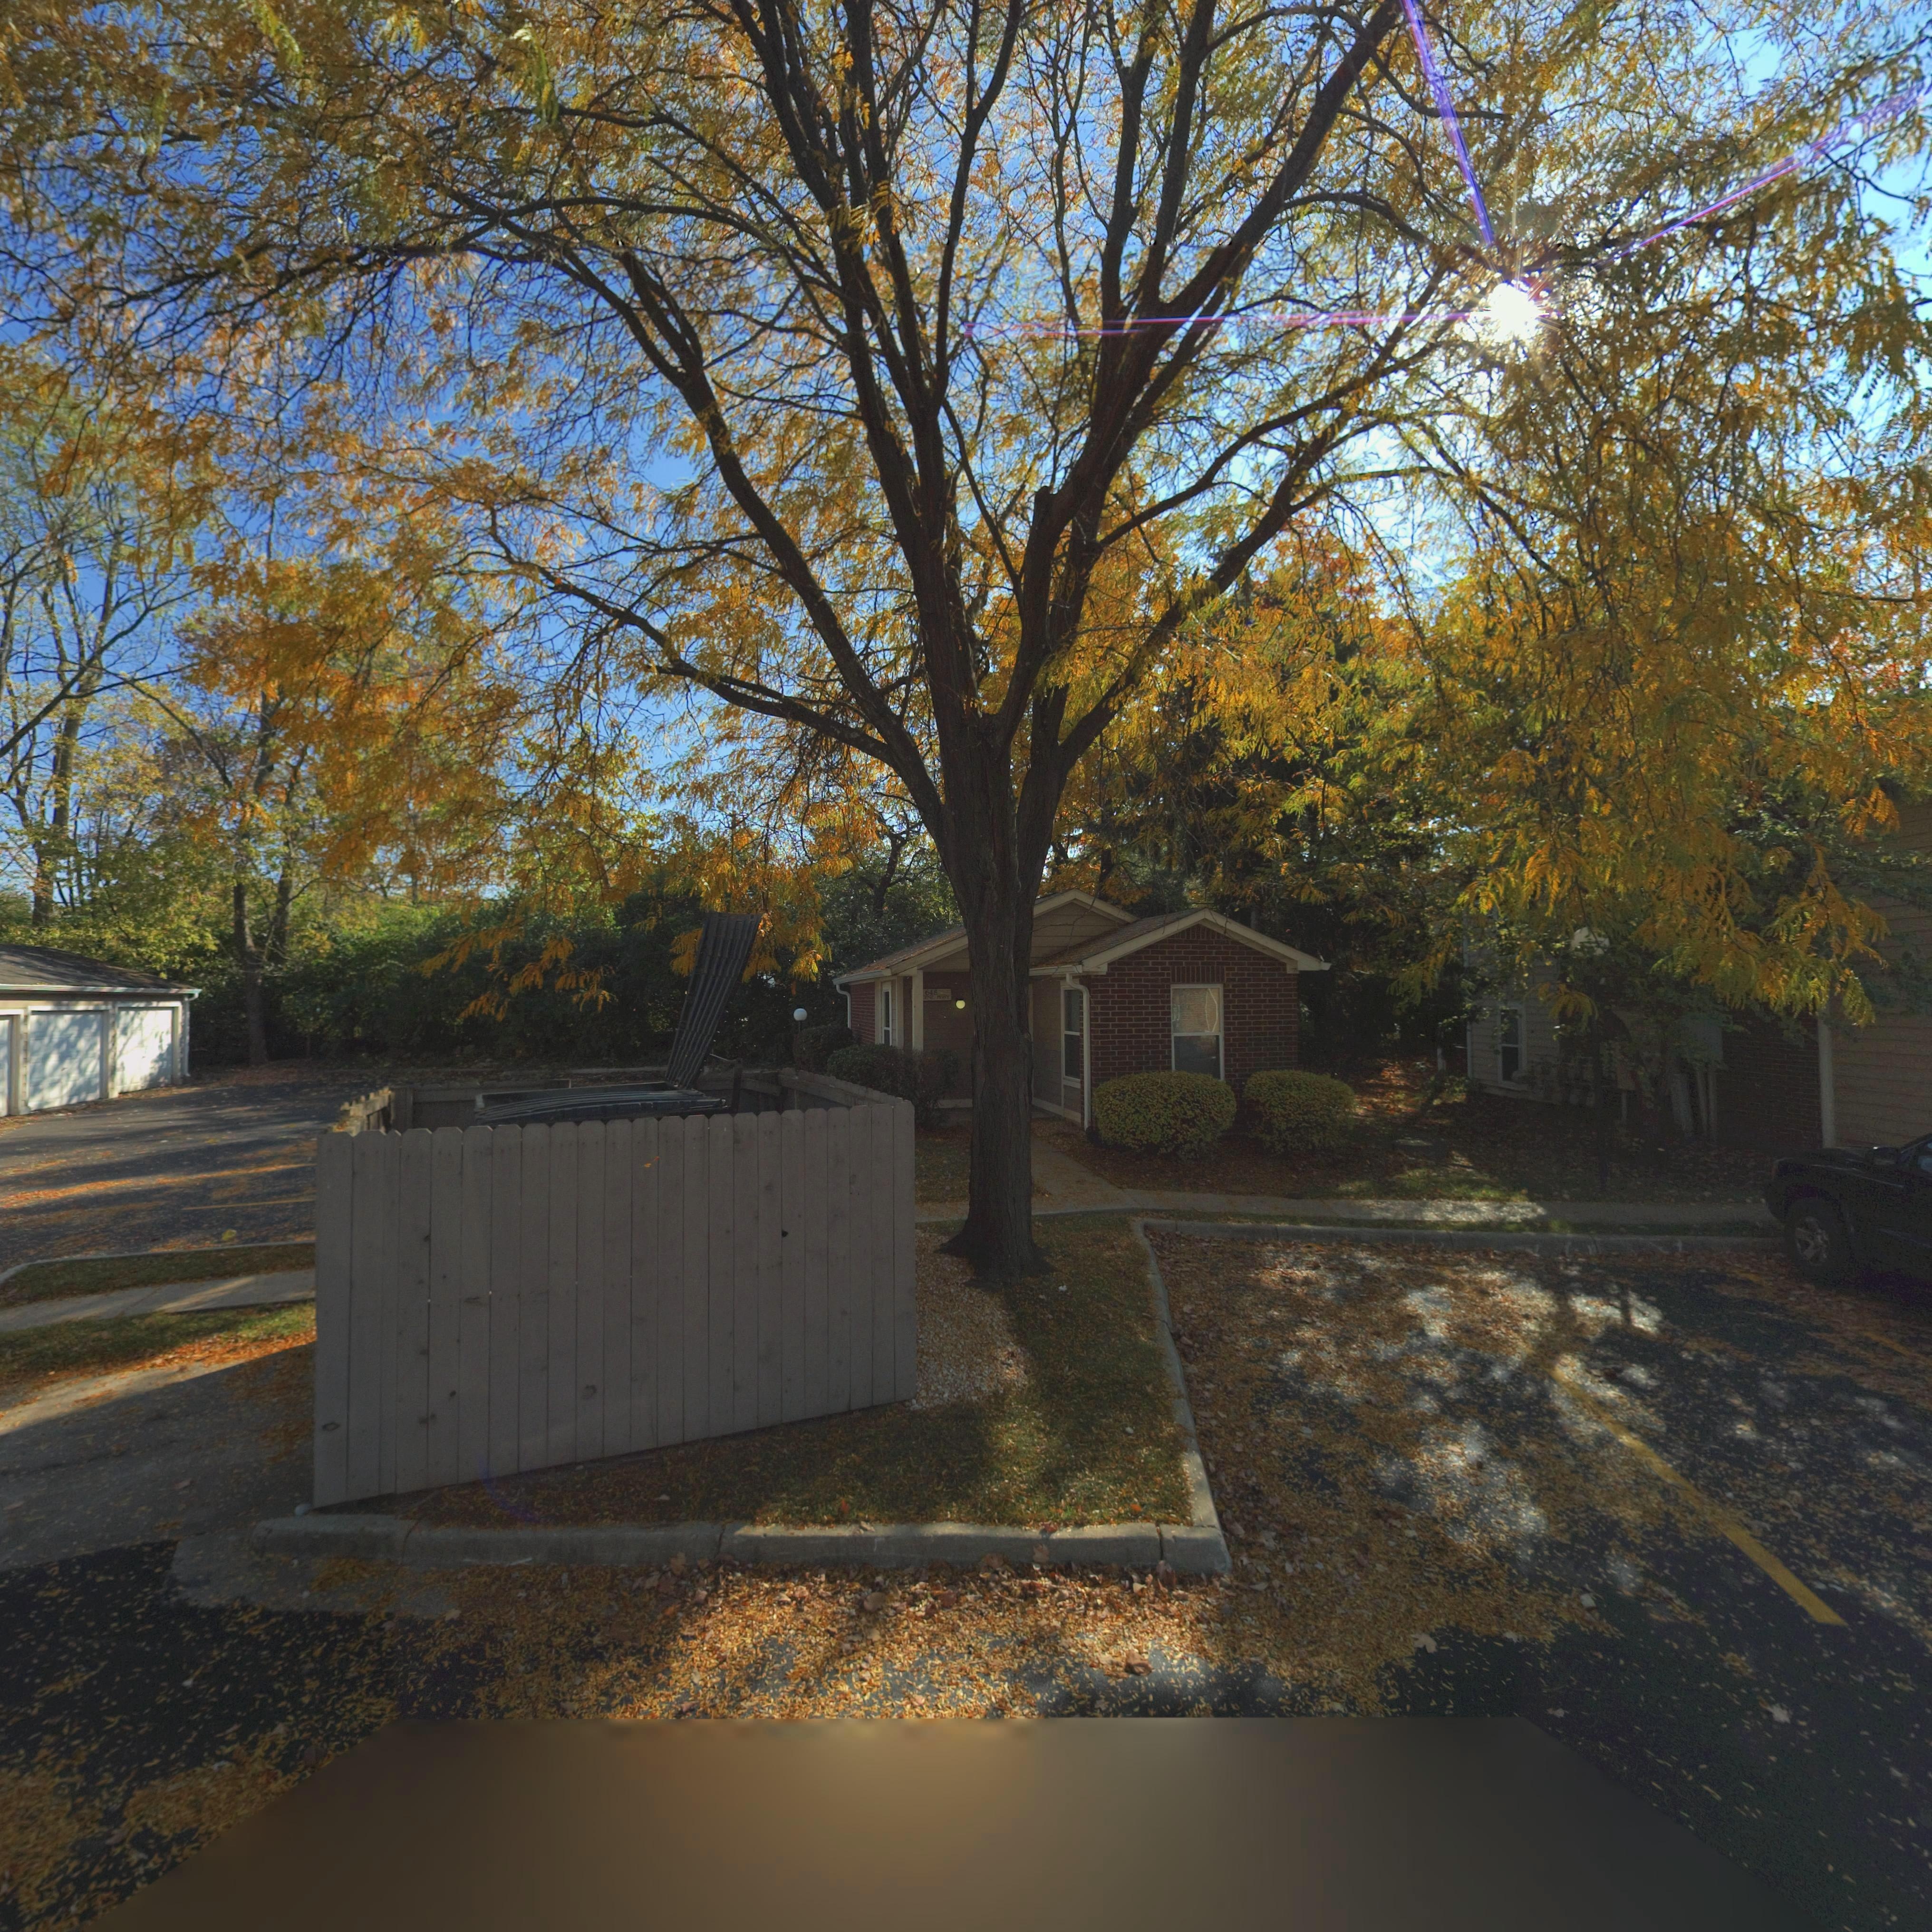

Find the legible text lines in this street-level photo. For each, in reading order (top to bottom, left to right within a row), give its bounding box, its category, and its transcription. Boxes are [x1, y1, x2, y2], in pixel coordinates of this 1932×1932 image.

[924, 988, 938, 996] StreetNumber: 648